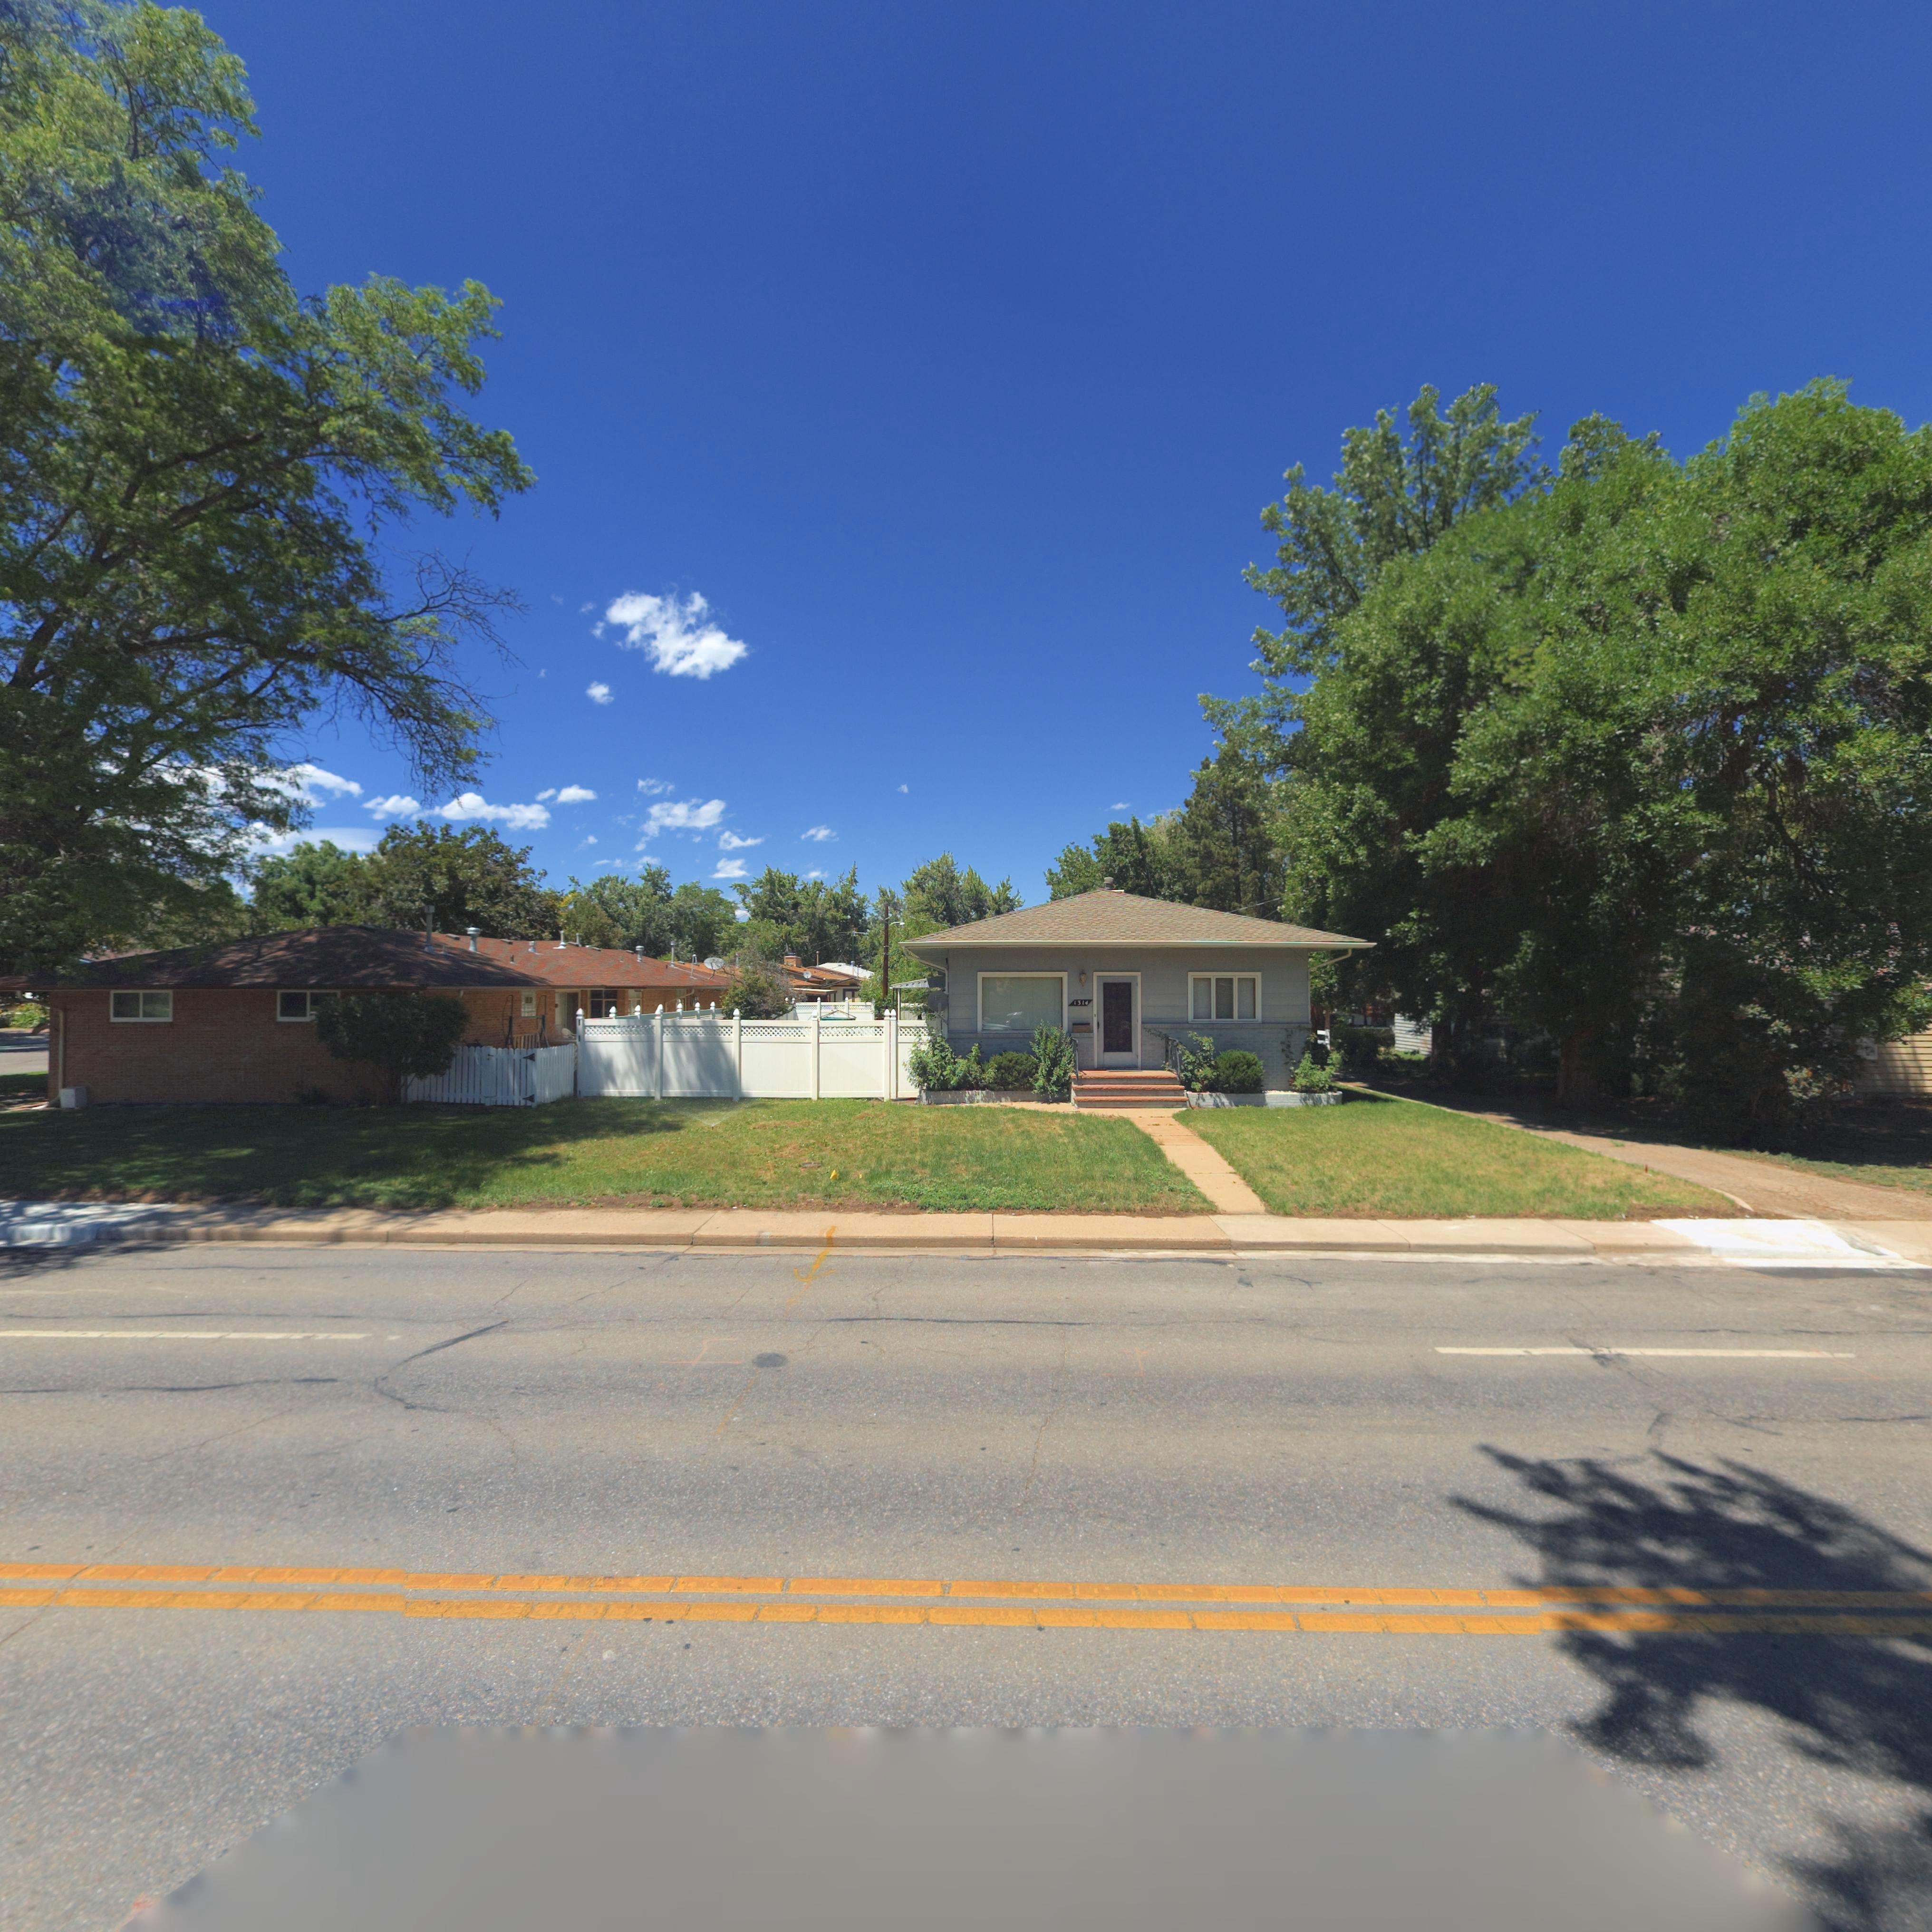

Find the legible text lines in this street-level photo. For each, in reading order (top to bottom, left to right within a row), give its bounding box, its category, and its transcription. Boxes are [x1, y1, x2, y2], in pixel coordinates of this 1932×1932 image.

[1073, 1000, 1089, 1005] StreetNumber: 1314